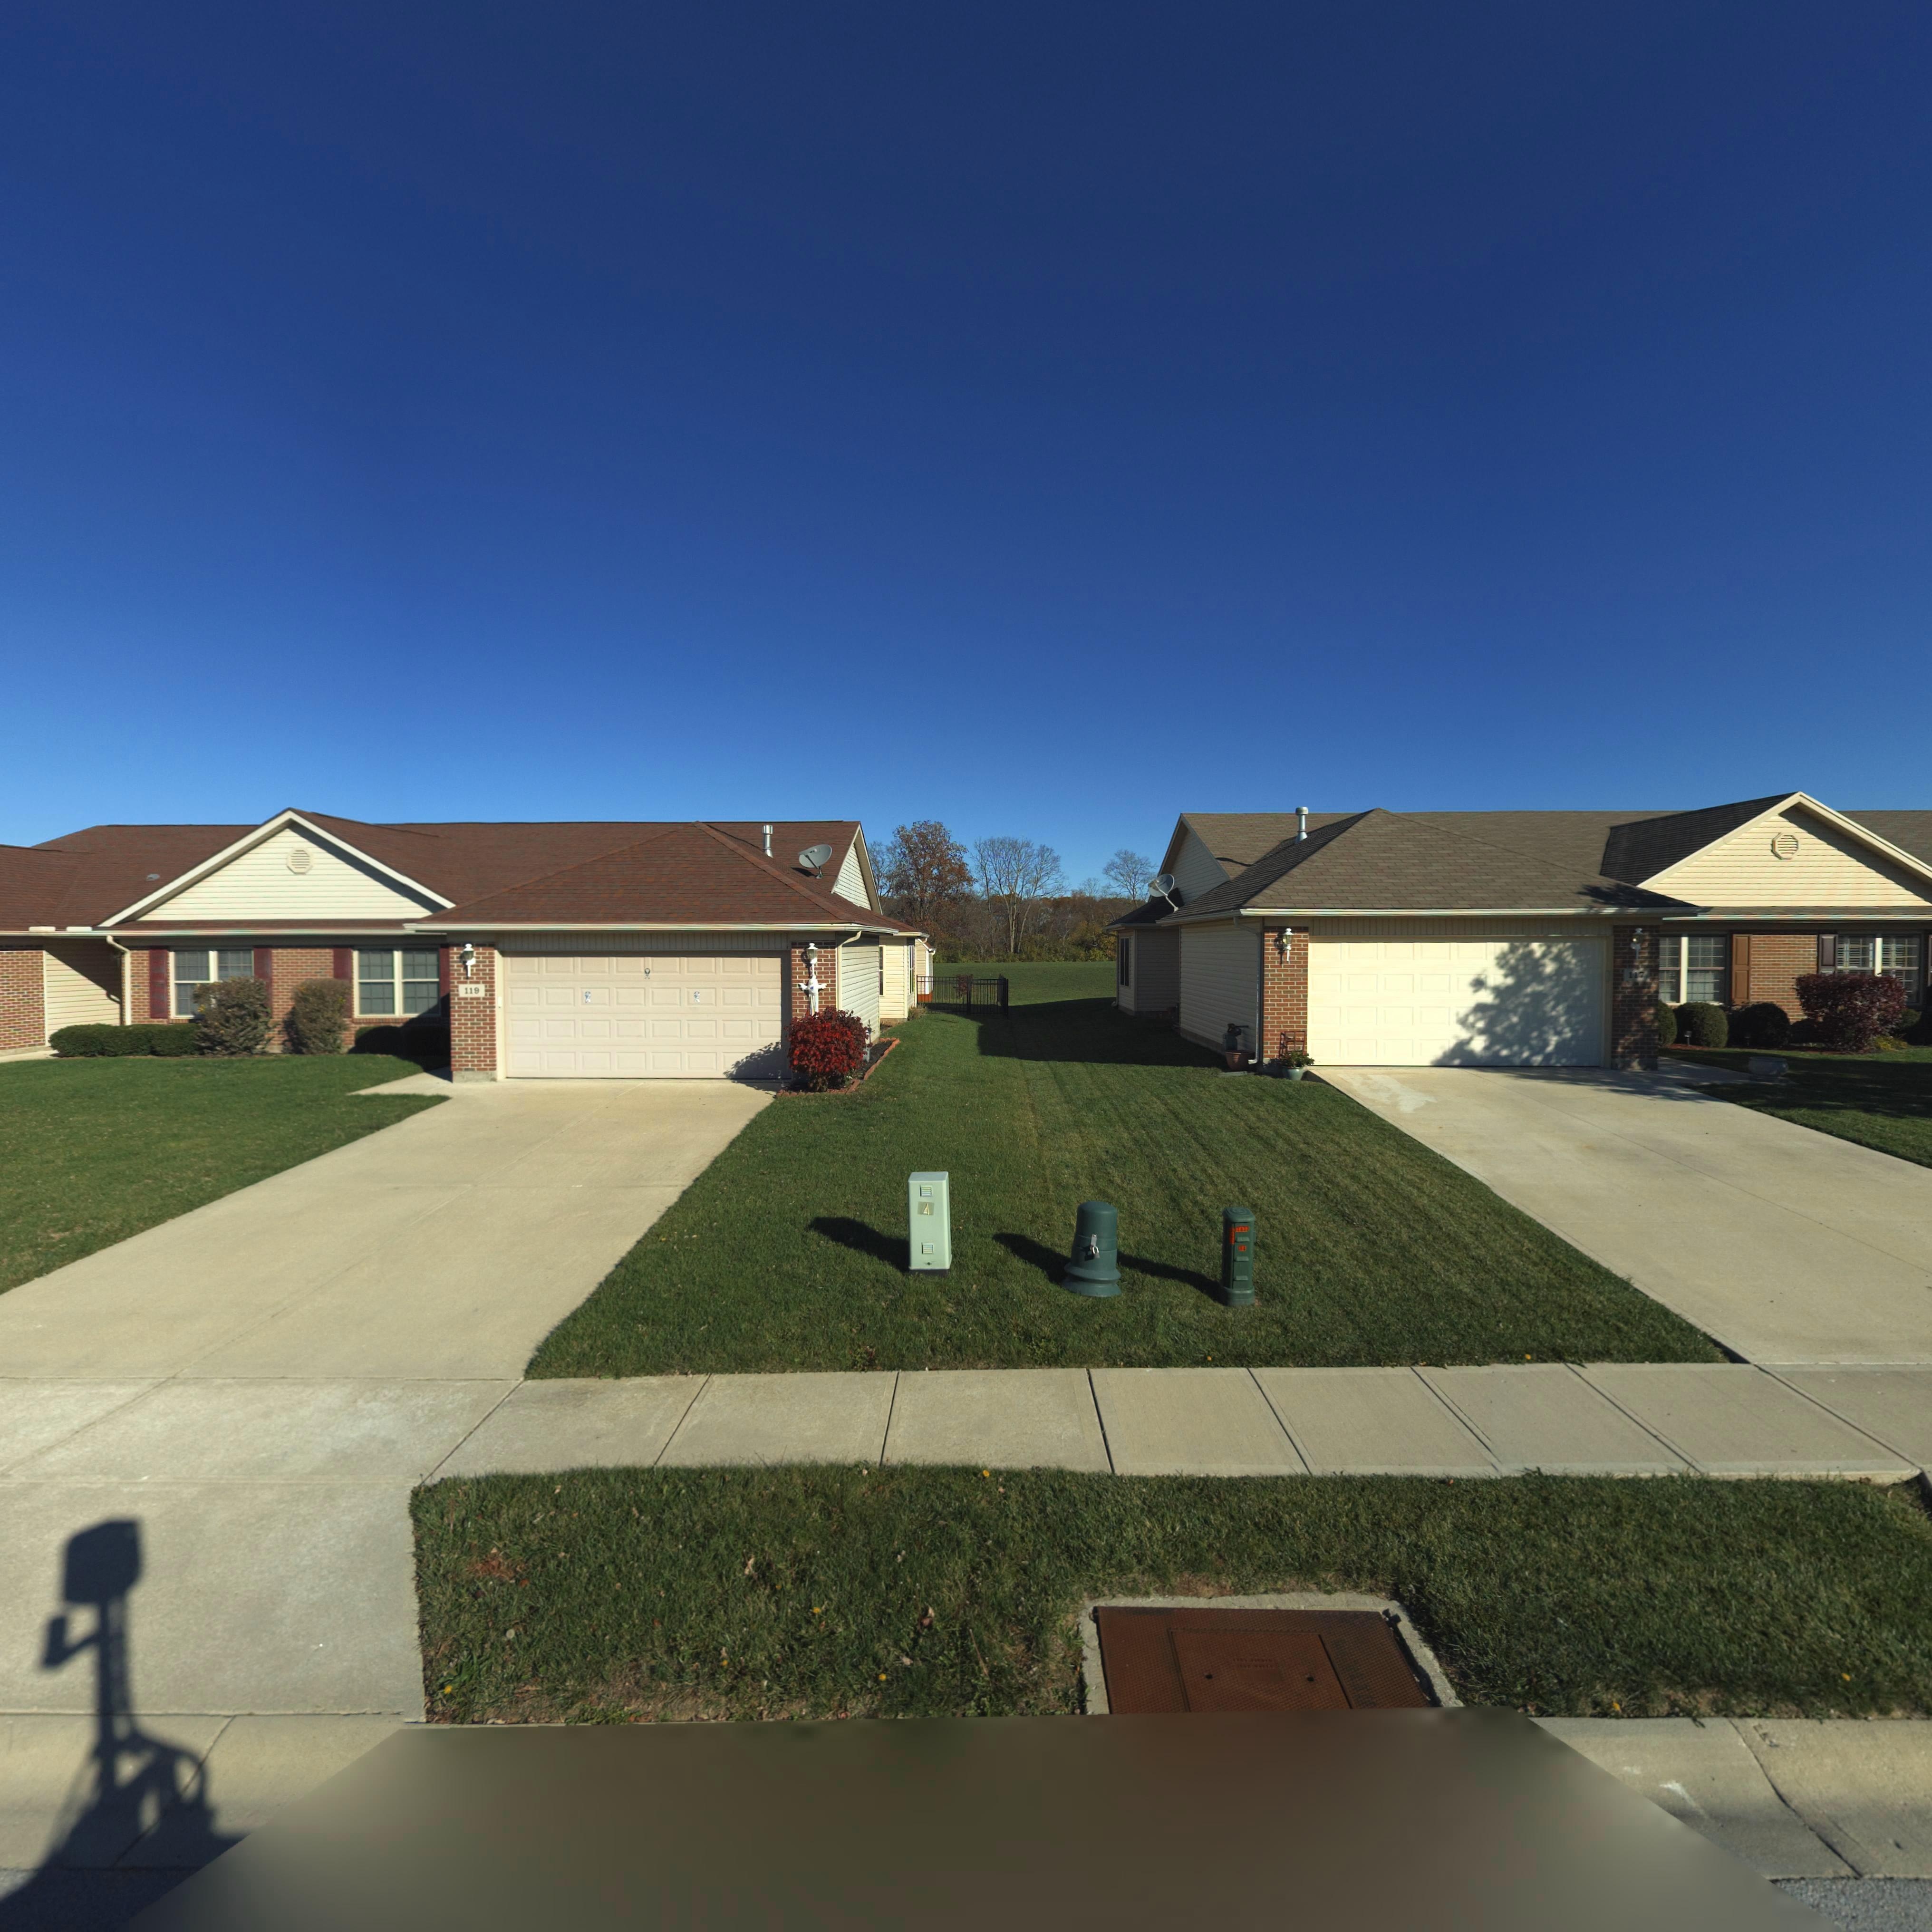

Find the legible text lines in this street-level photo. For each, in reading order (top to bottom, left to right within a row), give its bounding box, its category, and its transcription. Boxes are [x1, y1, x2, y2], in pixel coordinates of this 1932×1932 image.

[1628, 971, 1645, 979] StreetNumber: 117
[463, 986, 481, 995] StreetNumber: 119